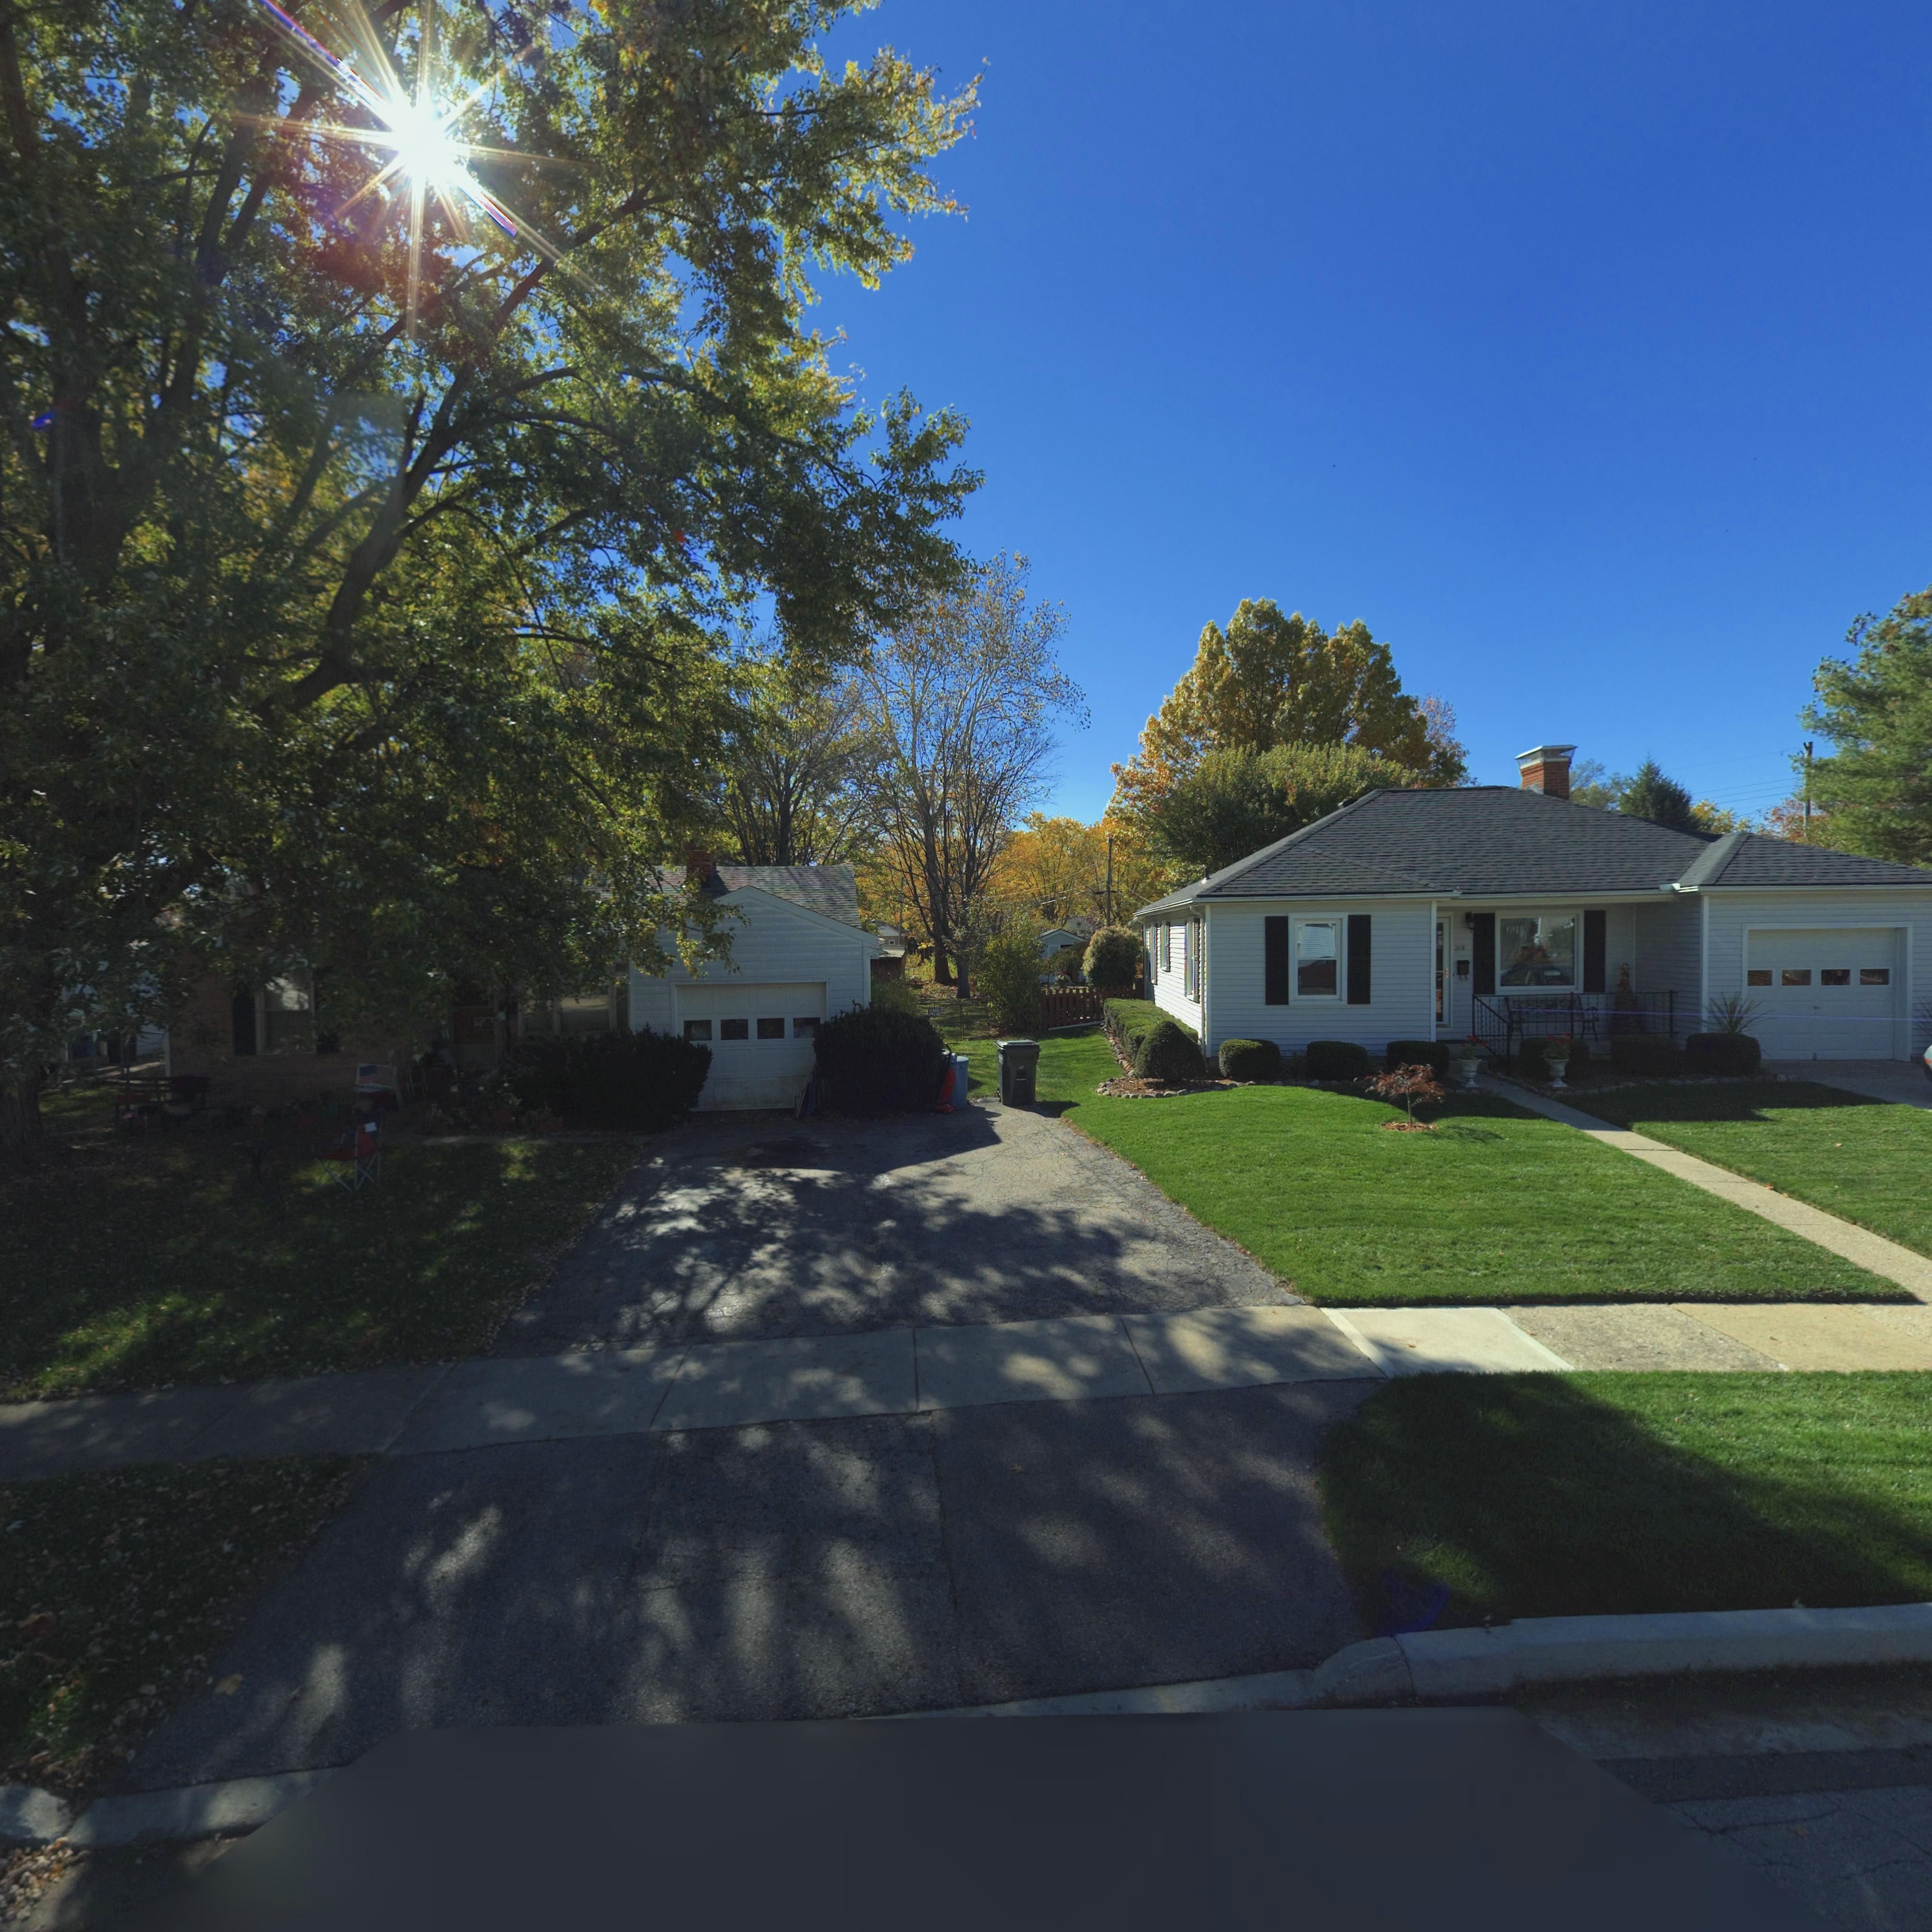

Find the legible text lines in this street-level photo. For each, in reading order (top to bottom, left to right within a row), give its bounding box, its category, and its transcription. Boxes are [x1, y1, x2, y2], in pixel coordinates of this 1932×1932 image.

[1454, 944, 1466, 952] StreetNumber: 219